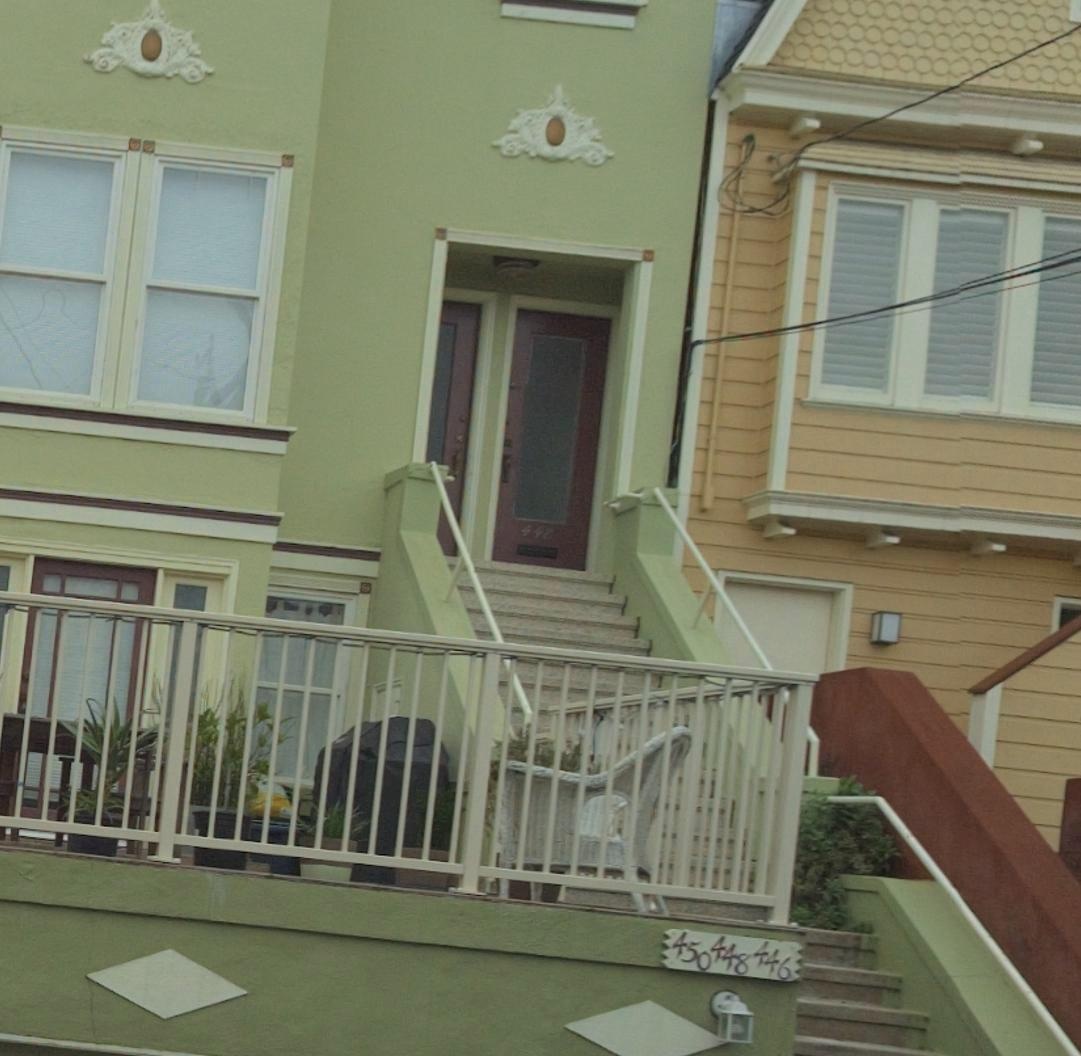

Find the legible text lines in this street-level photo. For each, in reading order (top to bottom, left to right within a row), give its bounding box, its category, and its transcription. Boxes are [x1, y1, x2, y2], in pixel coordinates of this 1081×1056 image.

[518, 522, 556, 542] StreetNumber: 448
[669, 926, 713, 976] StreetNumber: 450
[707, 931, 752, 978] StreetNumber: 448
[749, 936, 793, 984] StreetNumber: 446